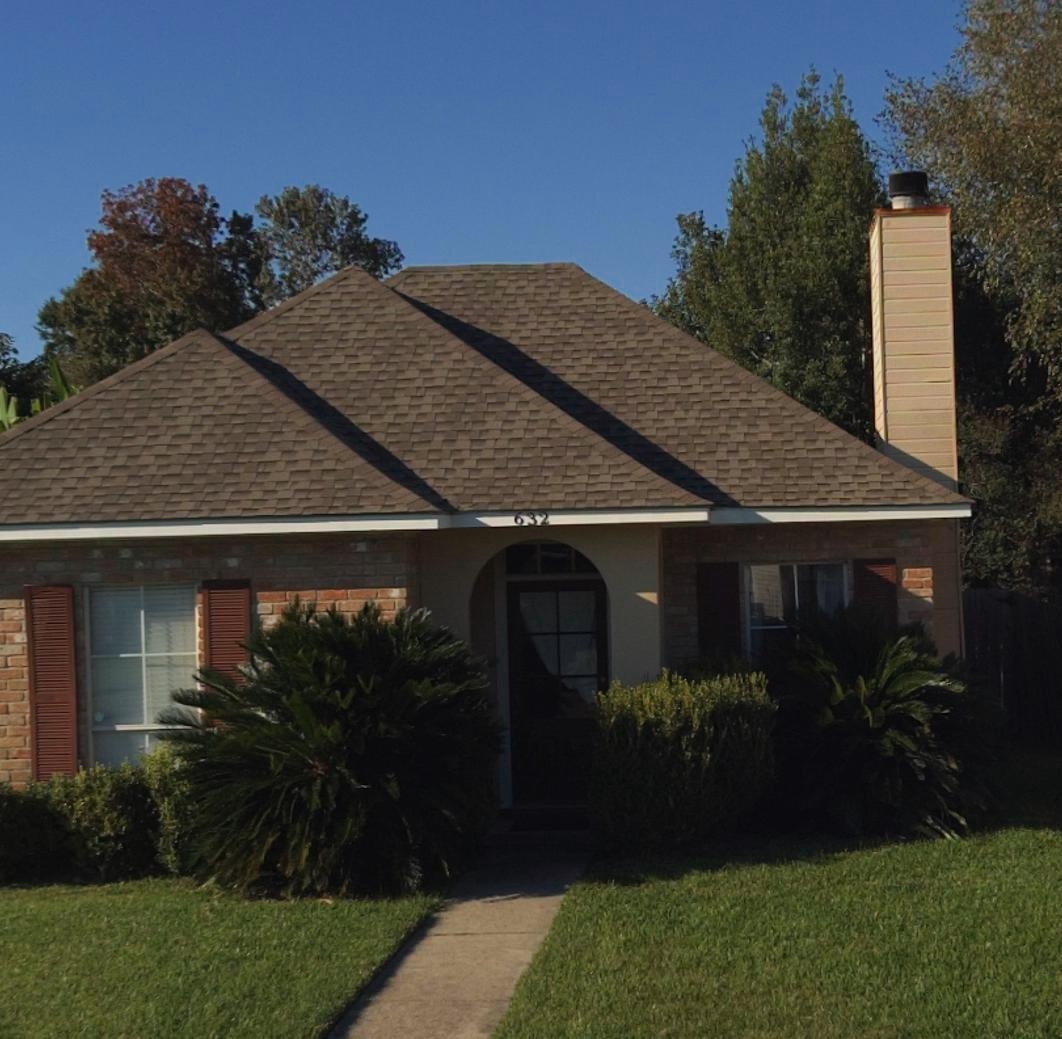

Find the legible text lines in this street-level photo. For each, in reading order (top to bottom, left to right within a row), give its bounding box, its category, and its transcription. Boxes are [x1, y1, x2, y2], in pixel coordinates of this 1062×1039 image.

[513, 511, 550, 526] StreetNumber: 632